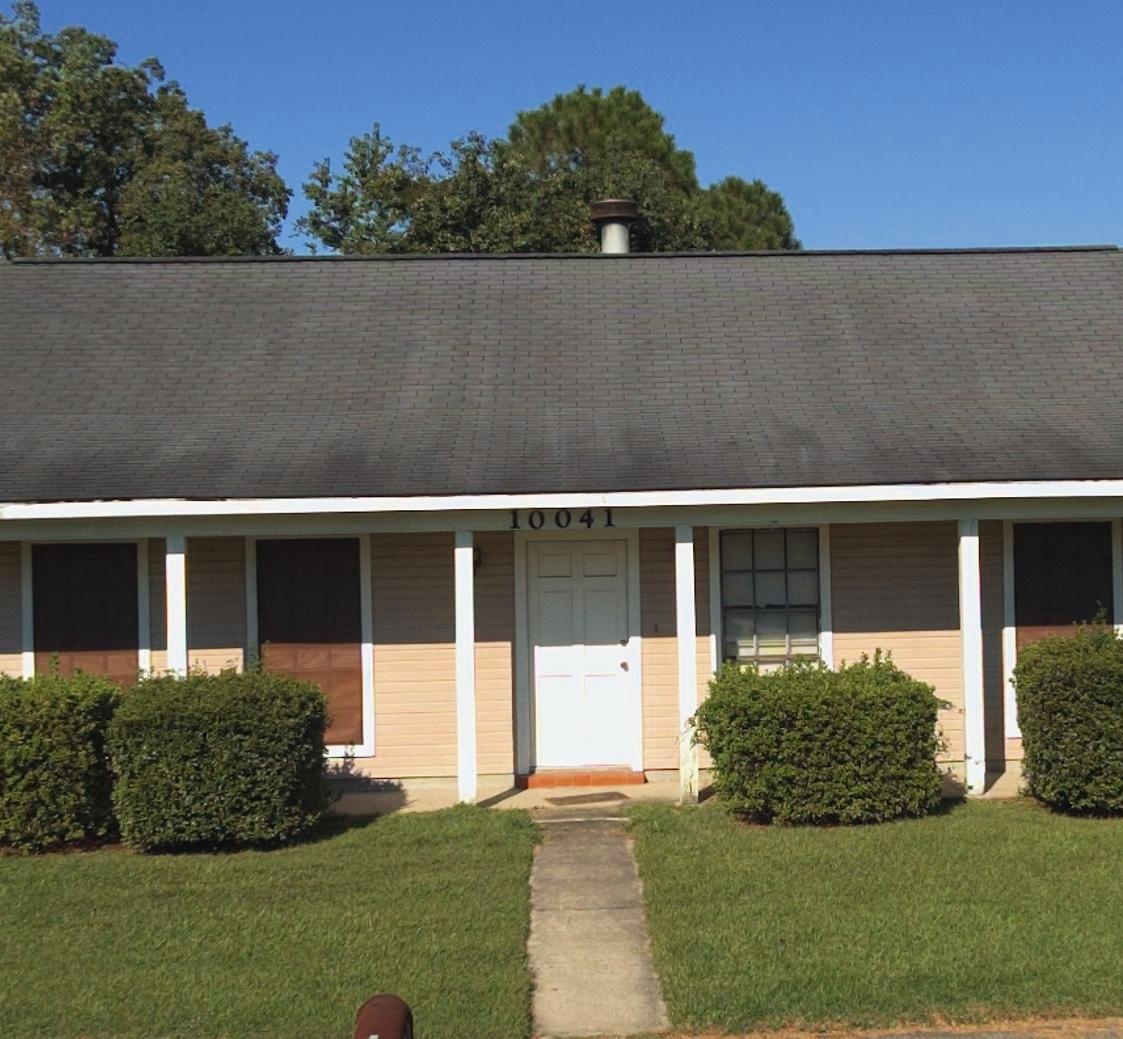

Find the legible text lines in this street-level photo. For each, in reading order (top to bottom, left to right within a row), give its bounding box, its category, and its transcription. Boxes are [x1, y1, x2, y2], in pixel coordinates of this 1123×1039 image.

[508, 507, 616, 530] StreetNumber: 10041